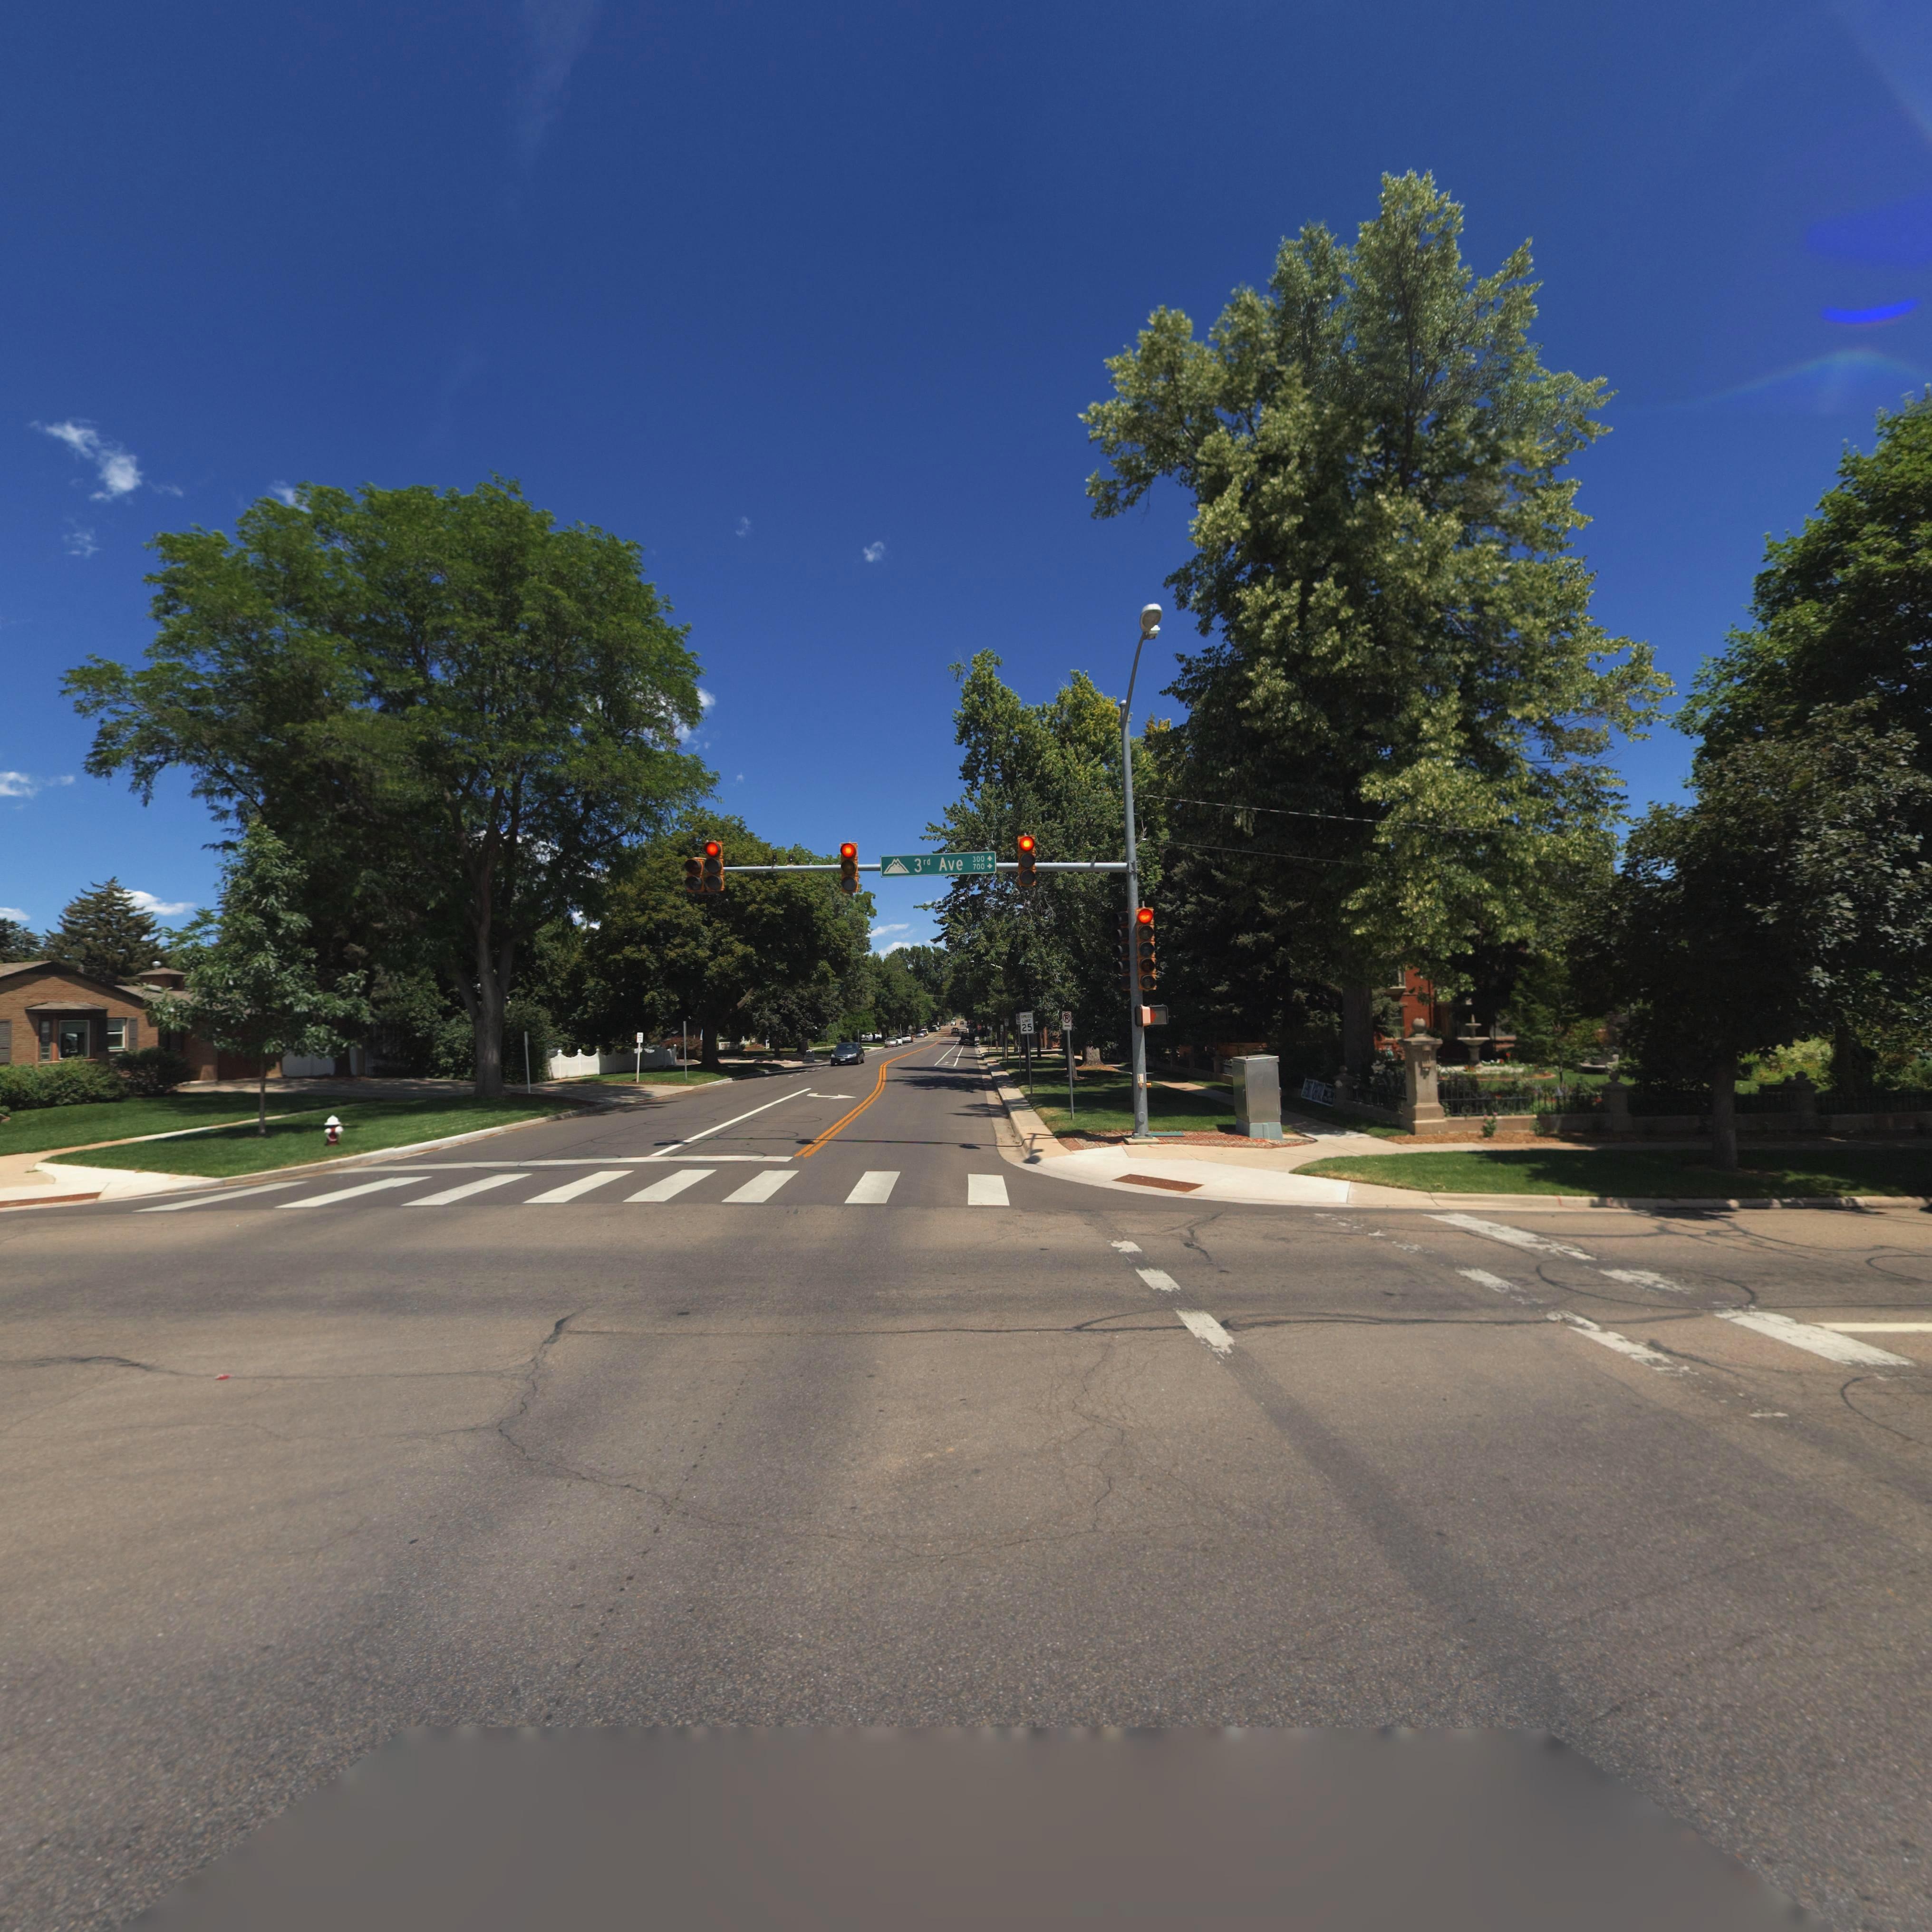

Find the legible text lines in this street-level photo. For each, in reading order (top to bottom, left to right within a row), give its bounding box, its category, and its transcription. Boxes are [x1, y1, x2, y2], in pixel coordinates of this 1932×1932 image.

[972, 855, 985, 862] StreetNumberRange: 300
[913, 857, 963, 873] StreetName: 3rd Ave
[972, 862, 993, 870] StreetNumberRange: 700->